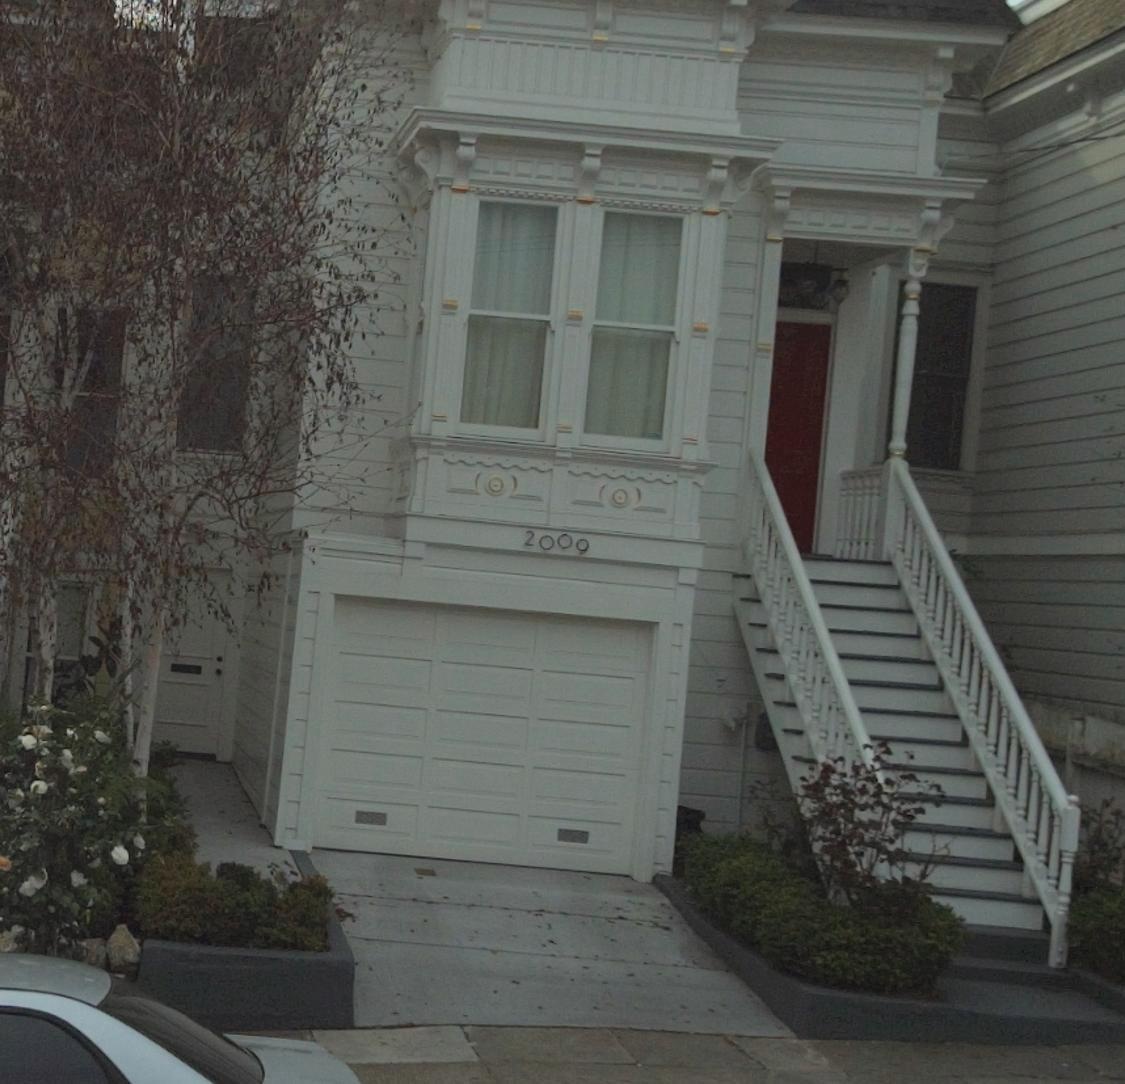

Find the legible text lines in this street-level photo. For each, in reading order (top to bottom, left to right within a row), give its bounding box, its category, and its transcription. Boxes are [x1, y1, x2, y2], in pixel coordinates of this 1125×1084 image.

[523, 527, 591, 558] StreetNumber: 2009